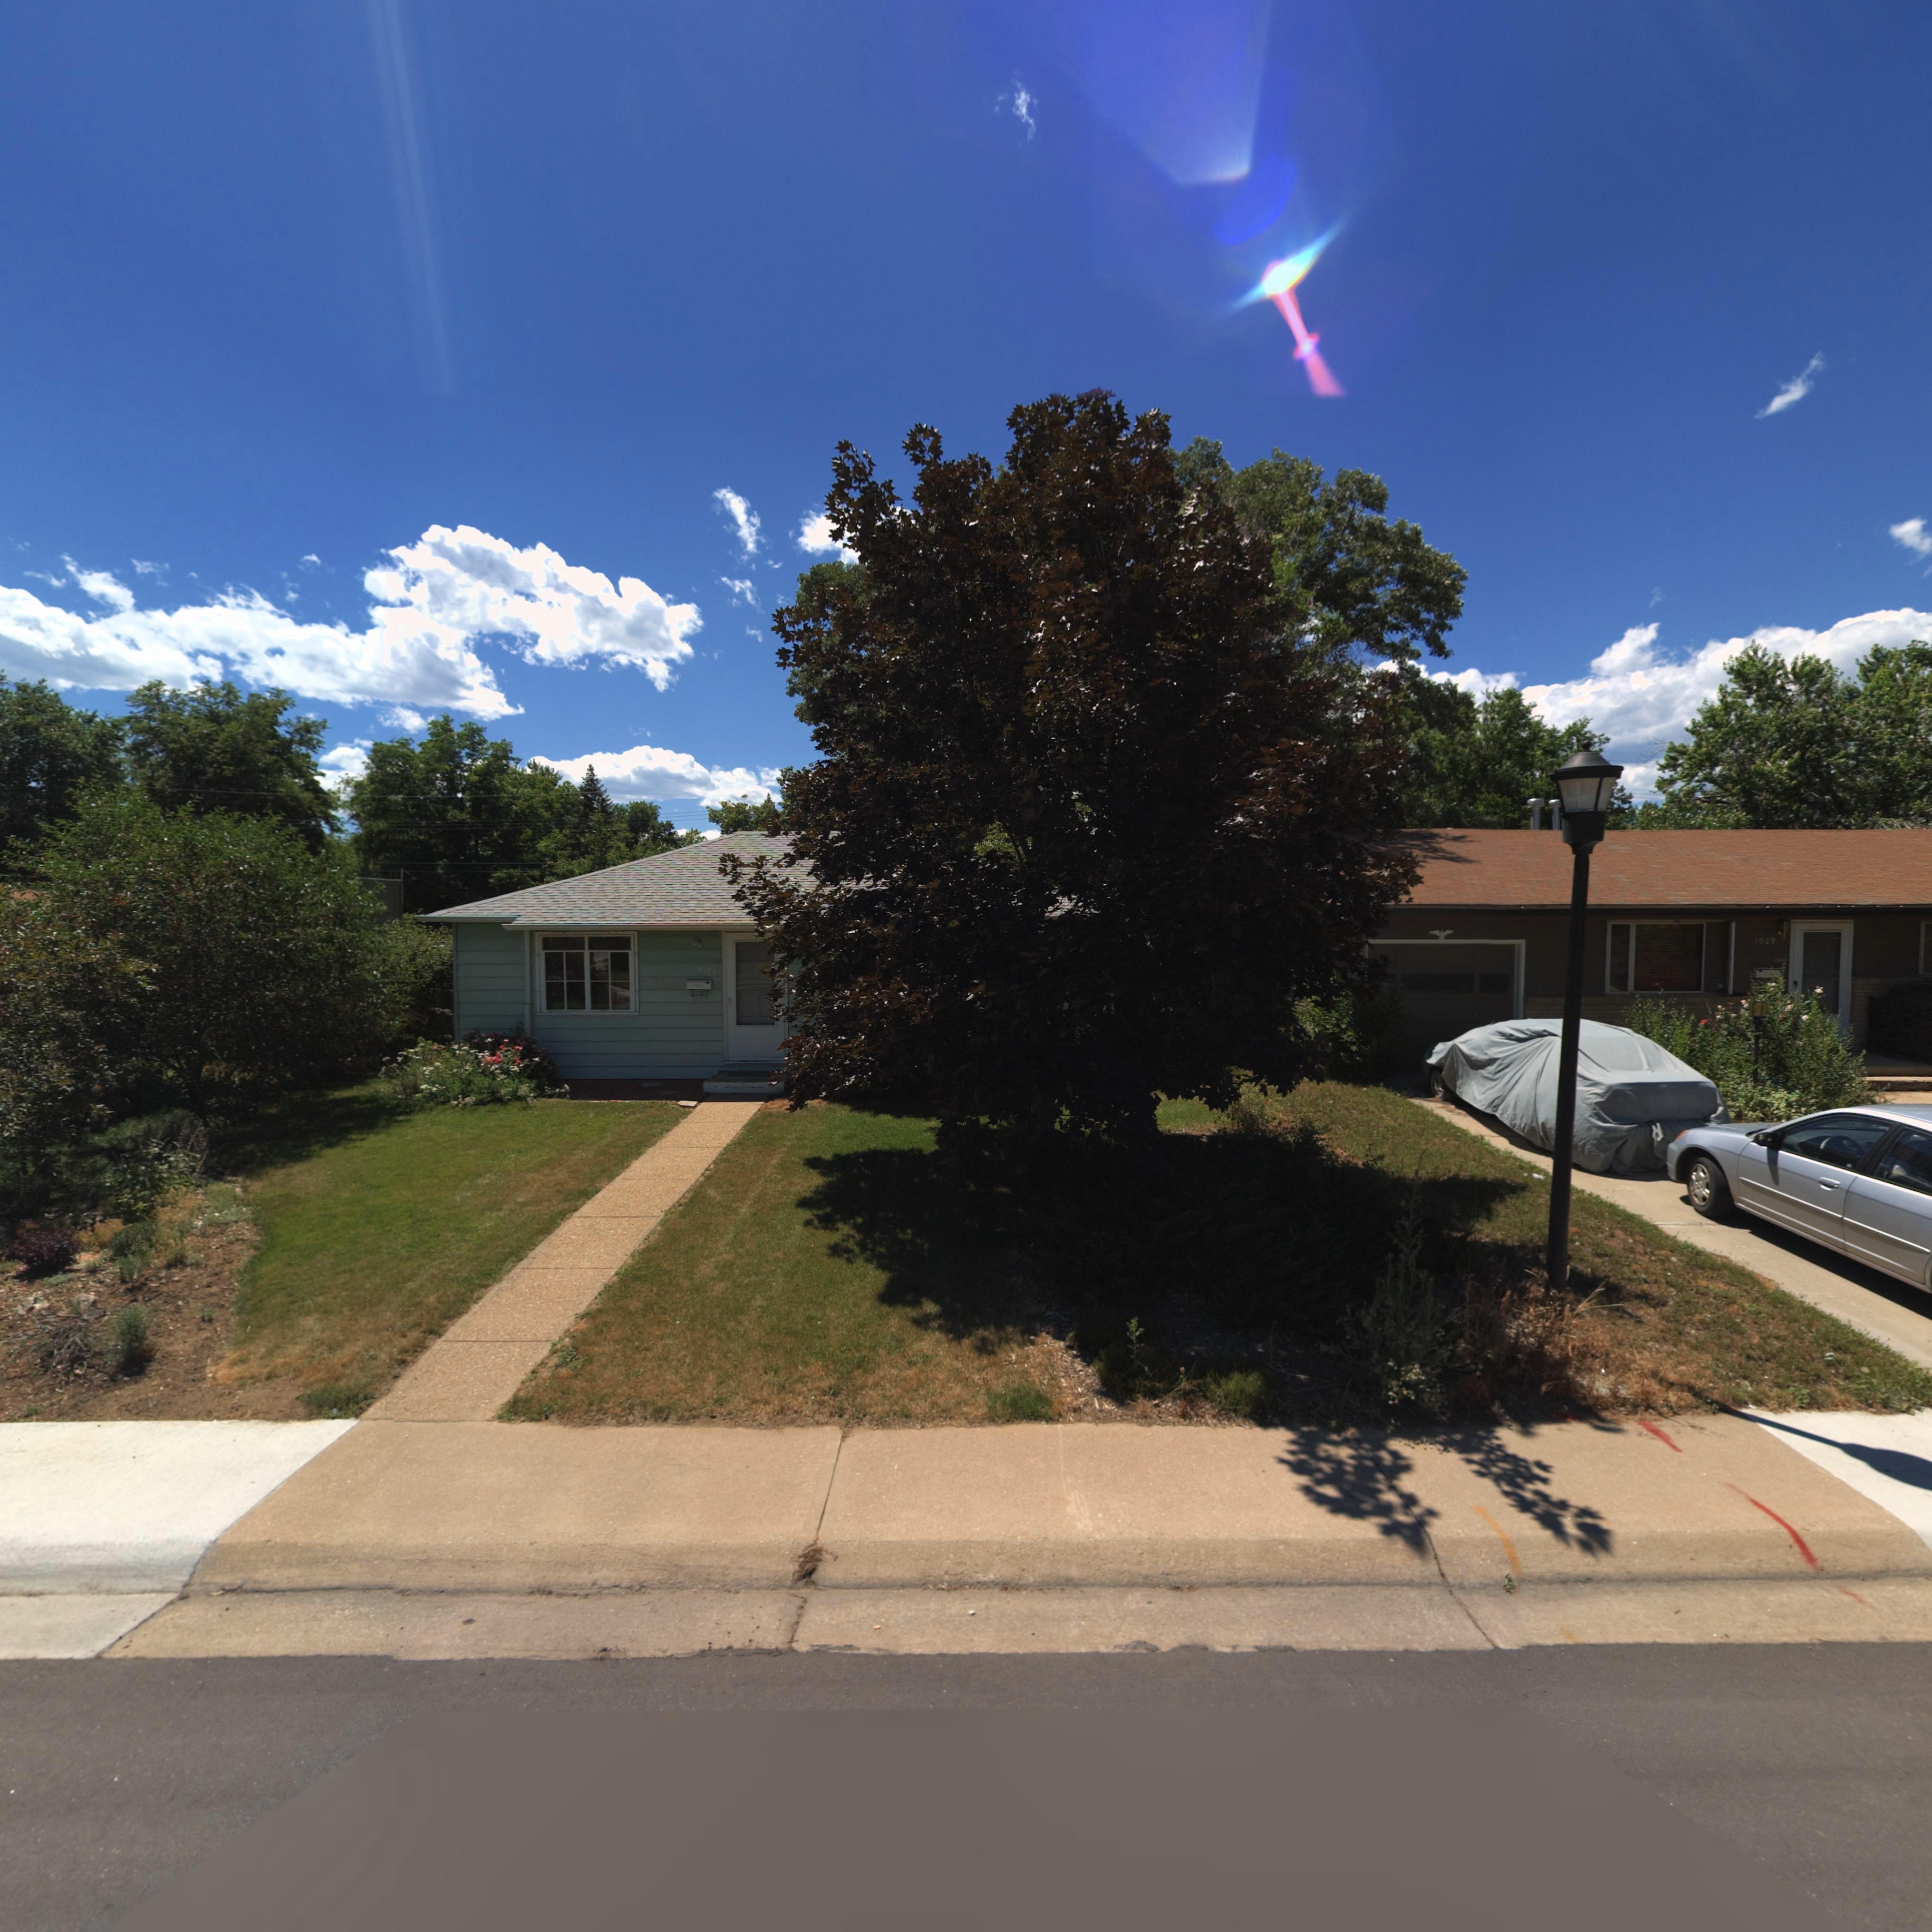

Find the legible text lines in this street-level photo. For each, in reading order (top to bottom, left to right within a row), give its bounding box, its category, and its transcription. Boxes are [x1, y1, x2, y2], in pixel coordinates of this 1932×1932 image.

[1754, 937, 1776, 945] StreetNumber: 1029
[698, 966, 715, 976] StreetNumber: 1023